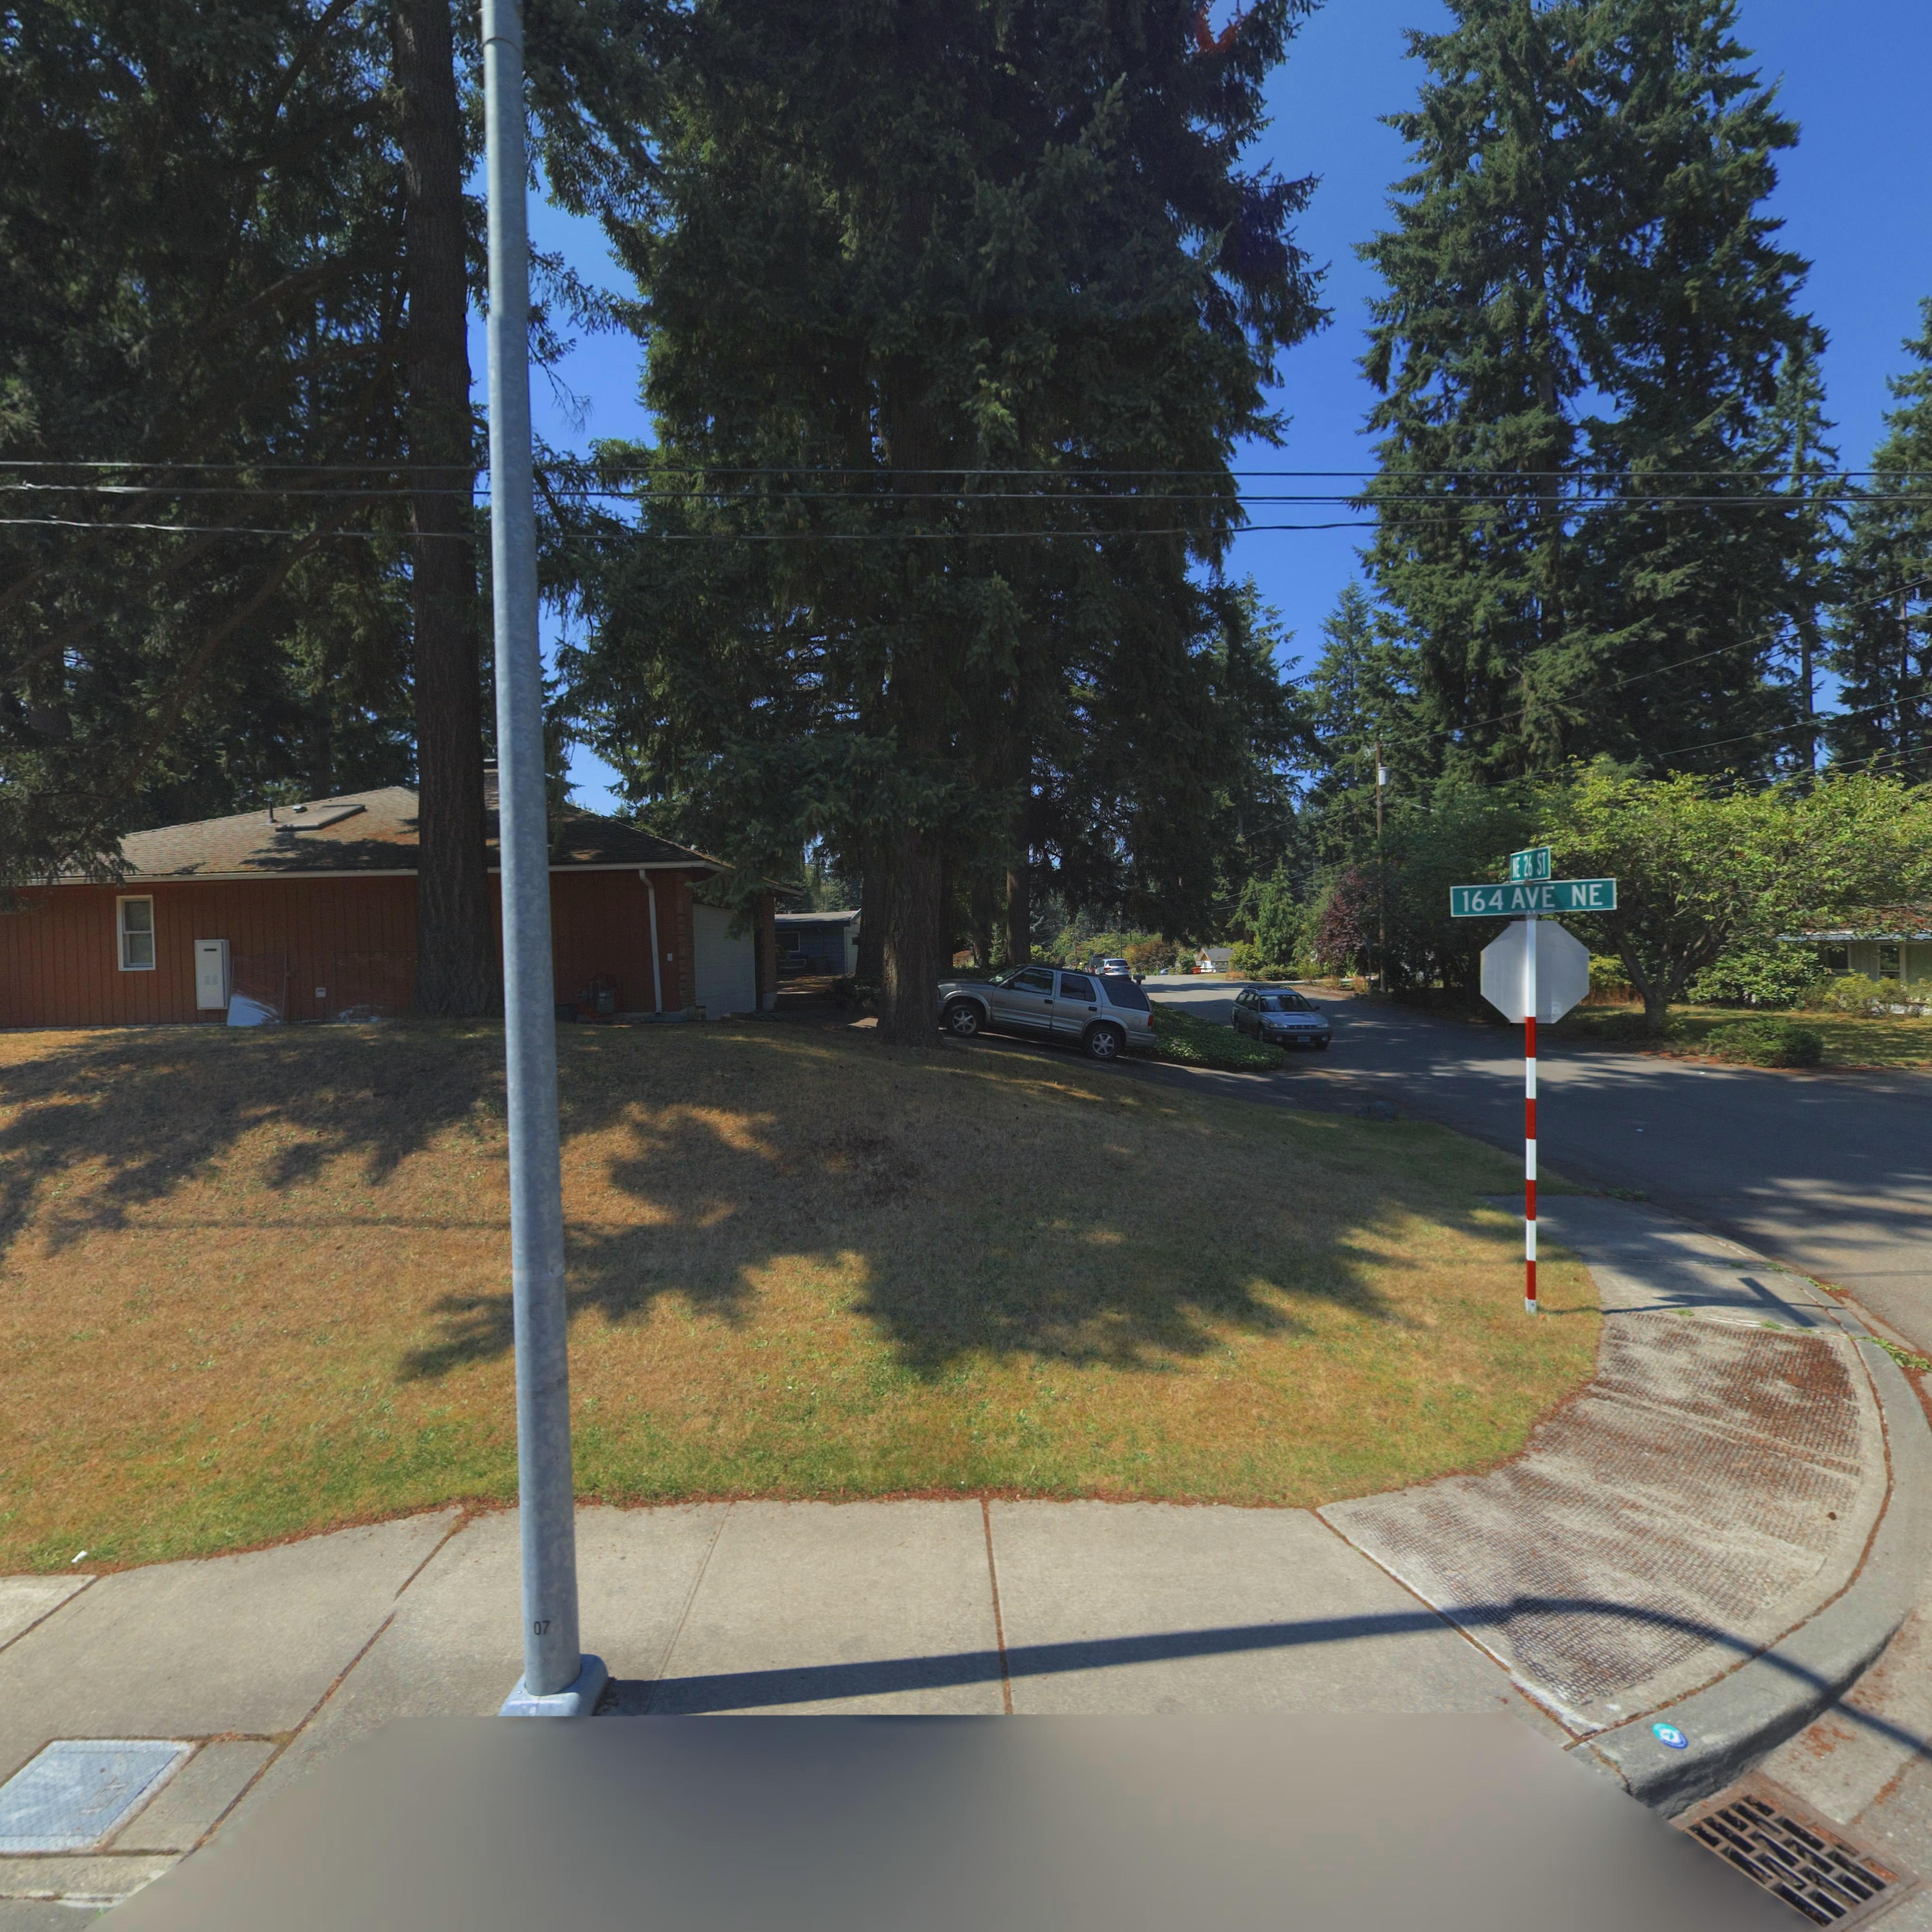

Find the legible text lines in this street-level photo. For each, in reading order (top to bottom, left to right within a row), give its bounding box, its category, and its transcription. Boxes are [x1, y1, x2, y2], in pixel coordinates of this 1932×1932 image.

[1512, 851, 1546, 878] StreetName: NE 26 ST
[1462, 884, 1602, 911] StreetName: 164 AVE NE